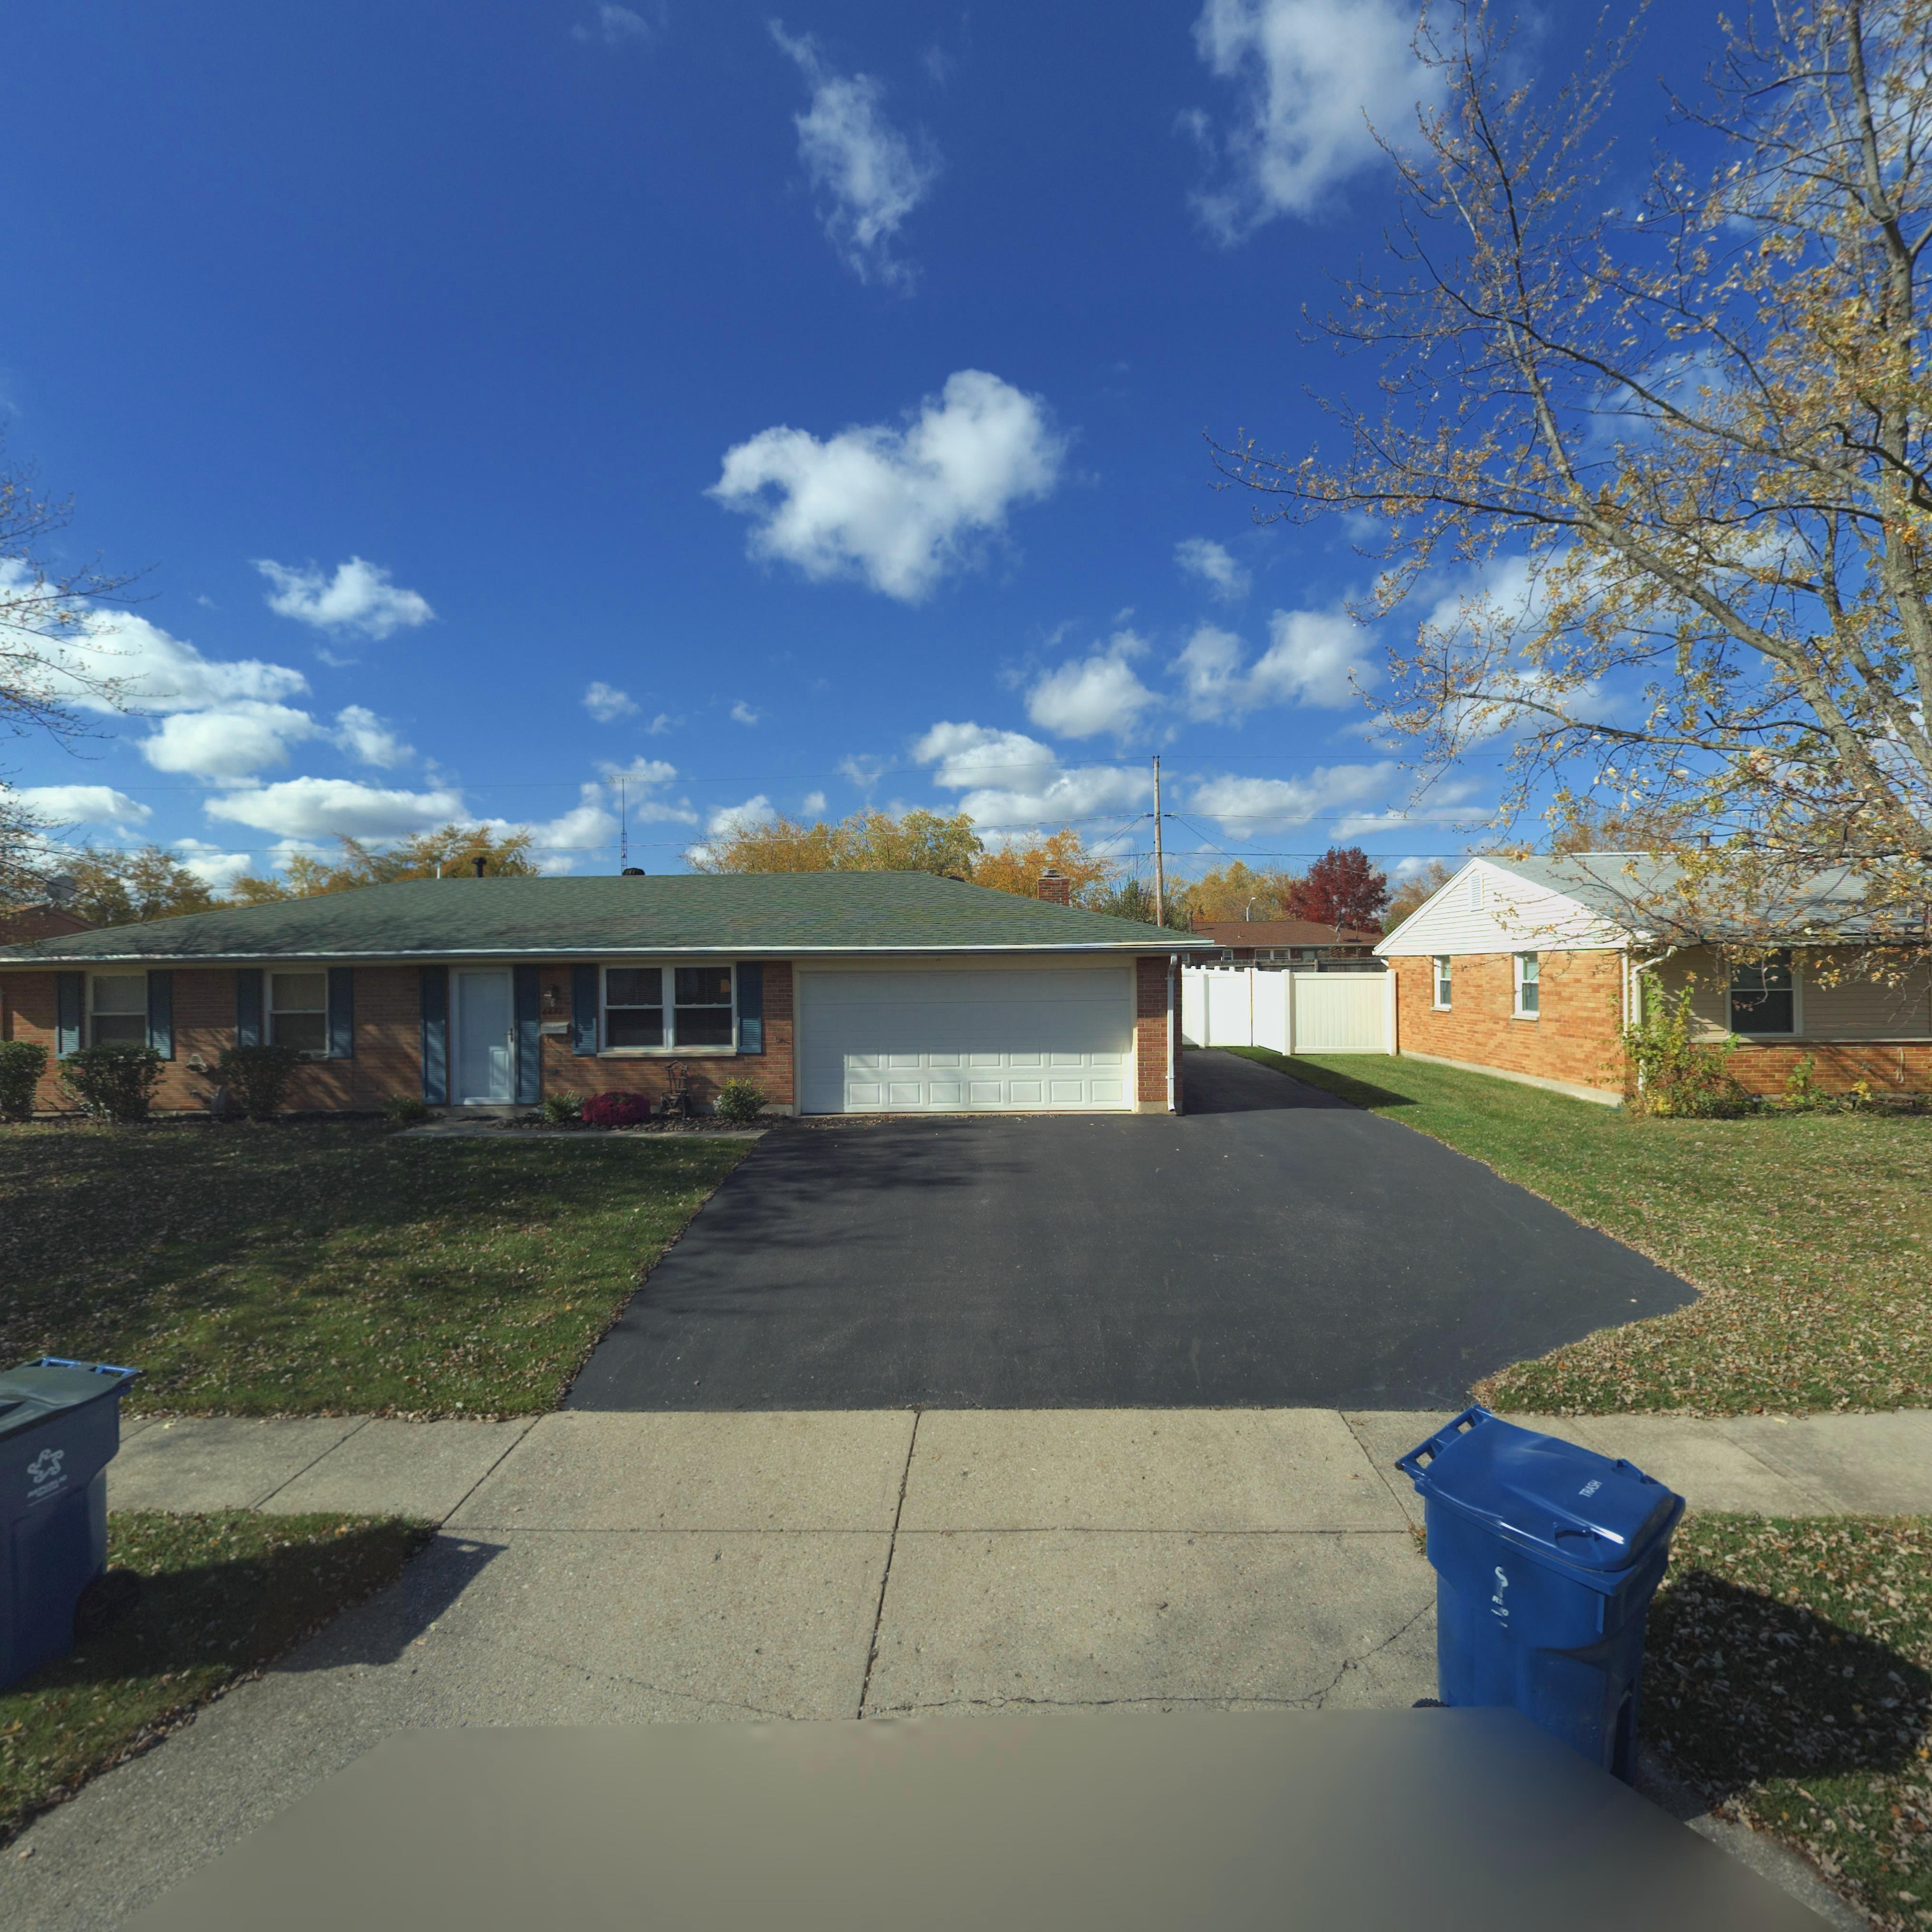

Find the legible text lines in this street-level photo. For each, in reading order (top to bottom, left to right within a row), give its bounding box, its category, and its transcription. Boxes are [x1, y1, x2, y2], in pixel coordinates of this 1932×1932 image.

[542, 1007, 564, 1015] StreetNumber: 667*